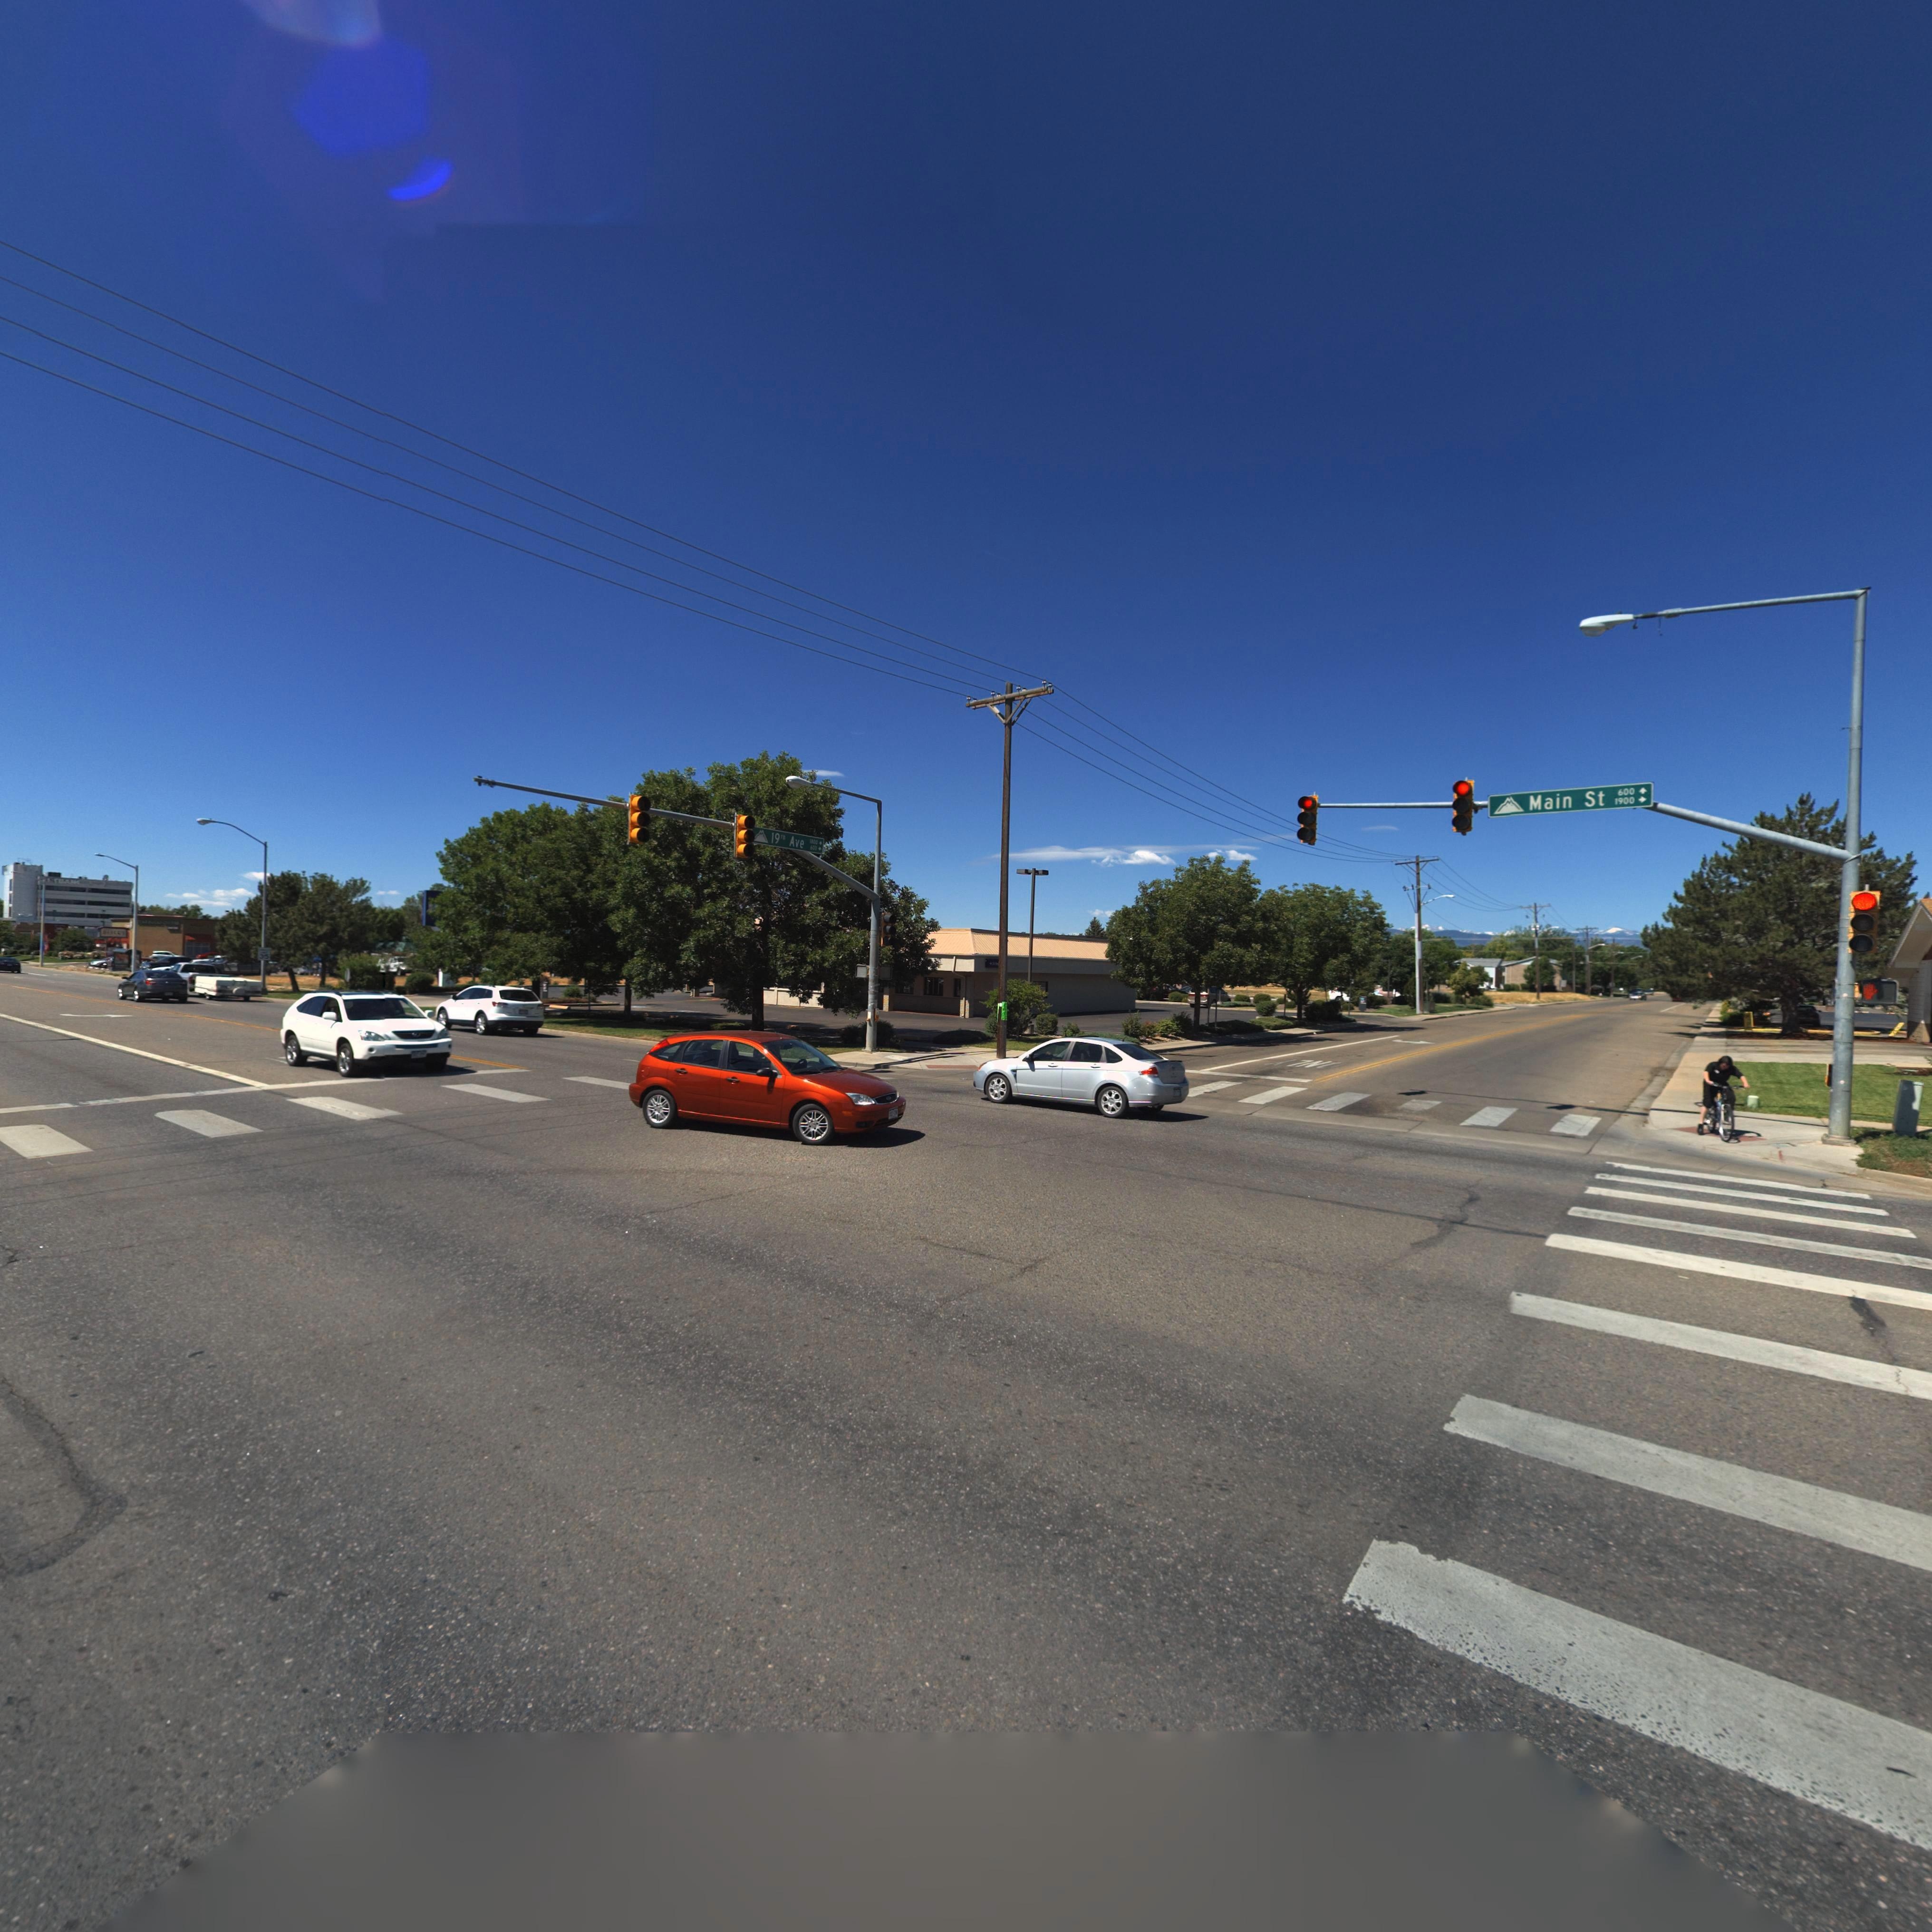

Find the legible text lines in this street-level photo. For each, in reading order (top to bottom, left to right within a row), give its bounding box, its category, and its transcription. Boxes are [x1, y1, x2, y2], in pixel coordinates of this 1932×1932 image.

[1617, 787, 1635, 796] StreetNumberRange: 600
[1529, 790, 1605, 811] StreetName: Main St
[1613, 795, 1647, 805] StreetNumberRange: 1900->
[771, 831, 804, 849] StreetName: 19th Ave
[809, 838, 819, 845] StreetNumberRange: 1*00
[810, 844, 822, 850] StreetNumberRange: 600->